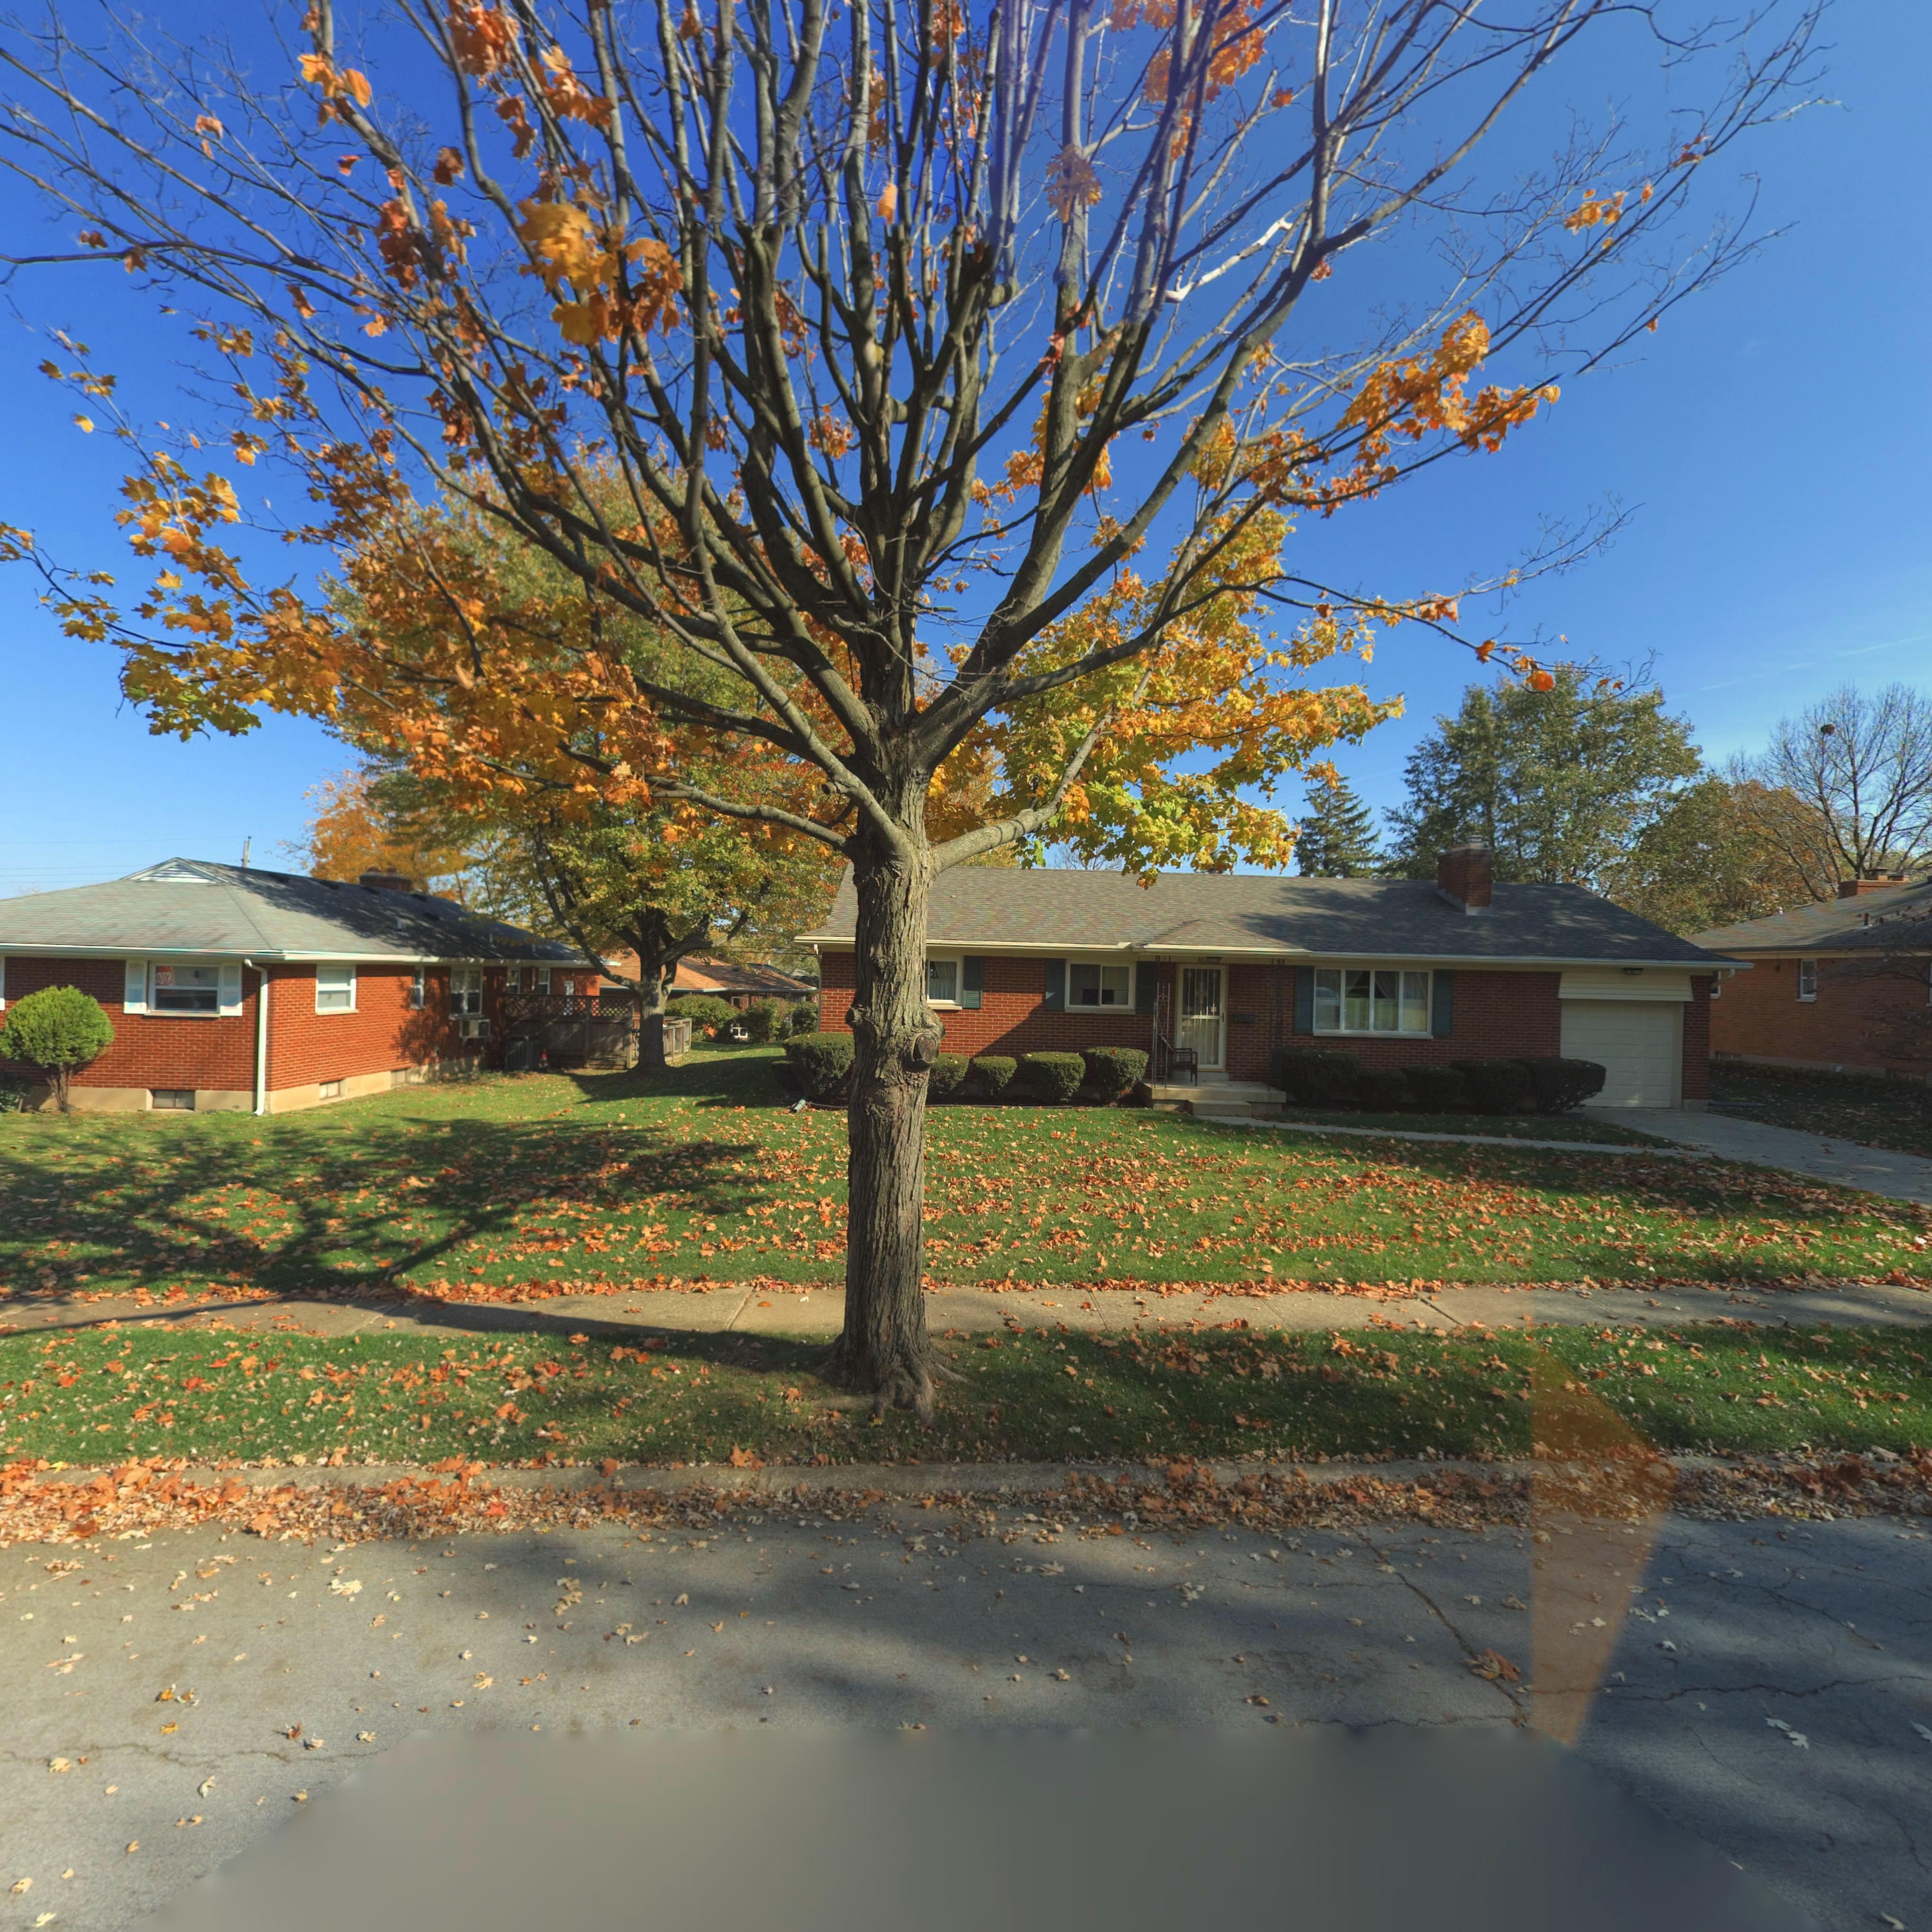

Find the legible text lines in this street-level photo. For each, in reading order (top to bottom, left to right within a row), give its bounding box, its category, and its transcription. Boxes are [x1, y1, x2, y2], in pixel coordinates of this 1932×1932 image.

[1197, 956, 1209, 963] StreetNumber: 3816